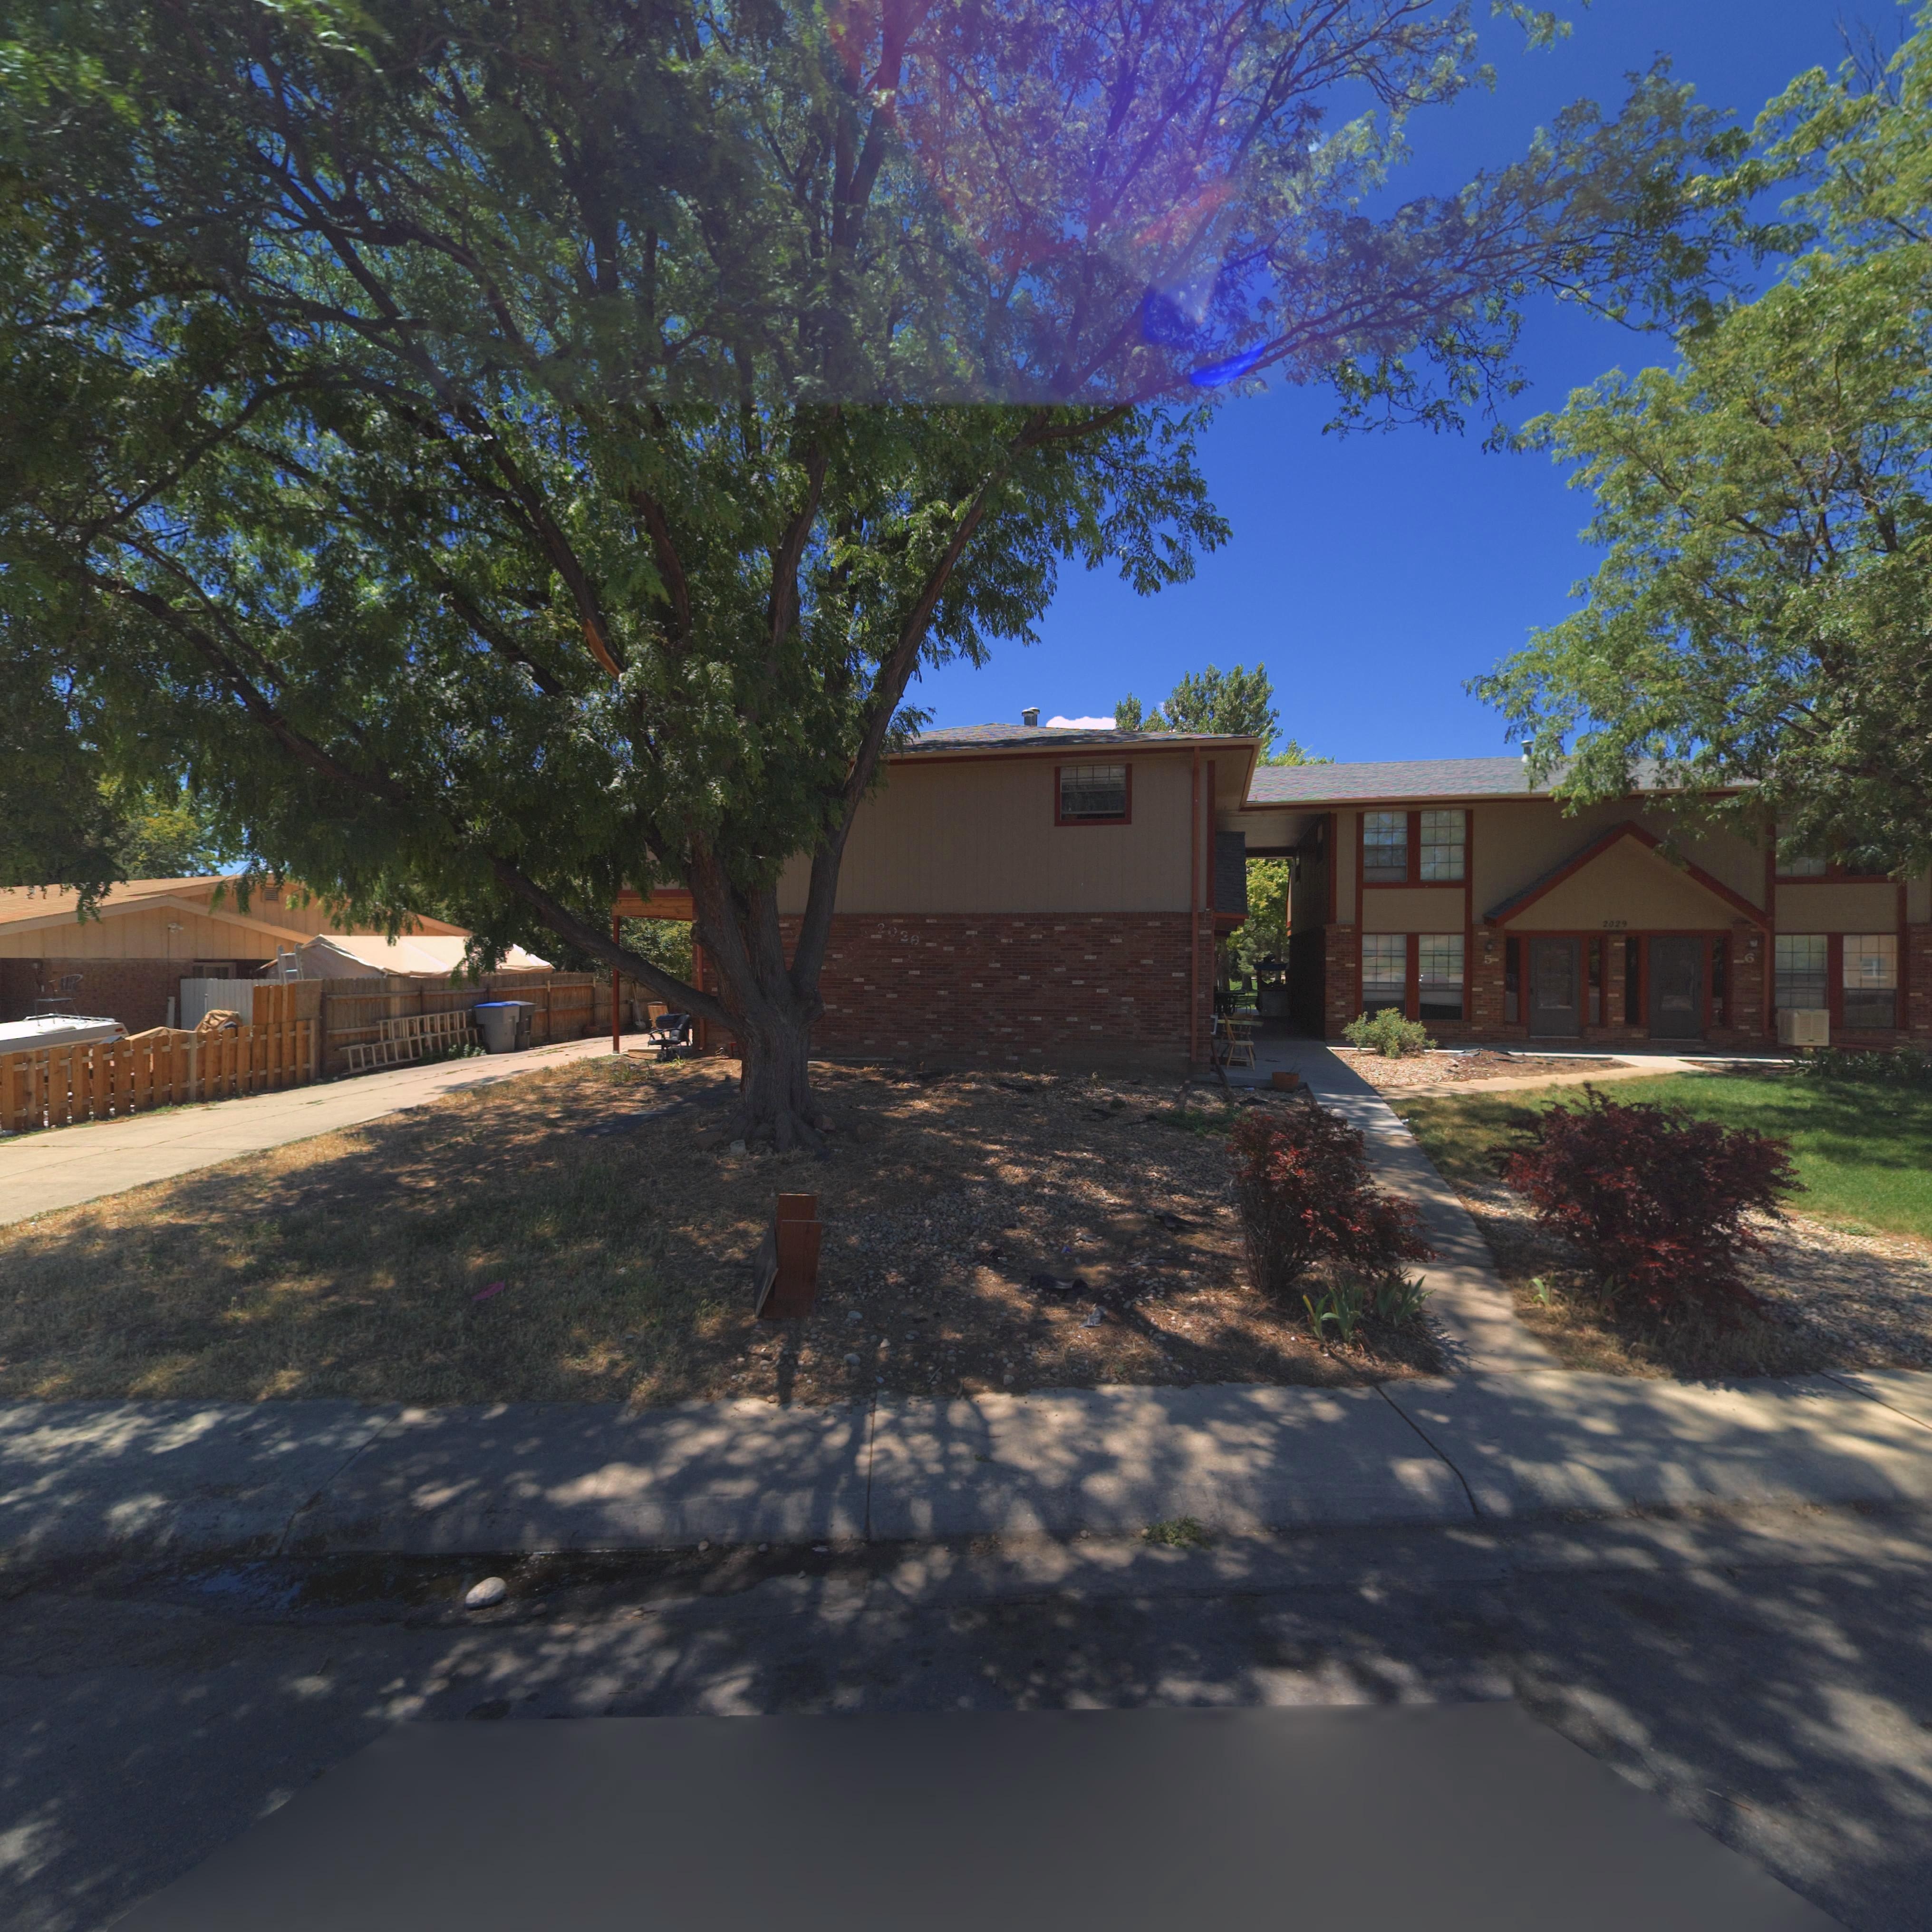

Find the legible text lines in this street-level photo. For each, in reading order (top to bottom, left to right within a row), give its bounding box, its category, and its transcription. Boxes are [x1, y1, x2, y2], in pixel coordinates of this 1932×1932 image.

[1602, 919, 1627, 927] StreetNumber: 2029
[877, 922, 920, 946] StreetNumber: 2028
[1484, 955, 1492, 964] StreetNumber: 5
[1744, 953, 1754, 963] StreetNumber: 6